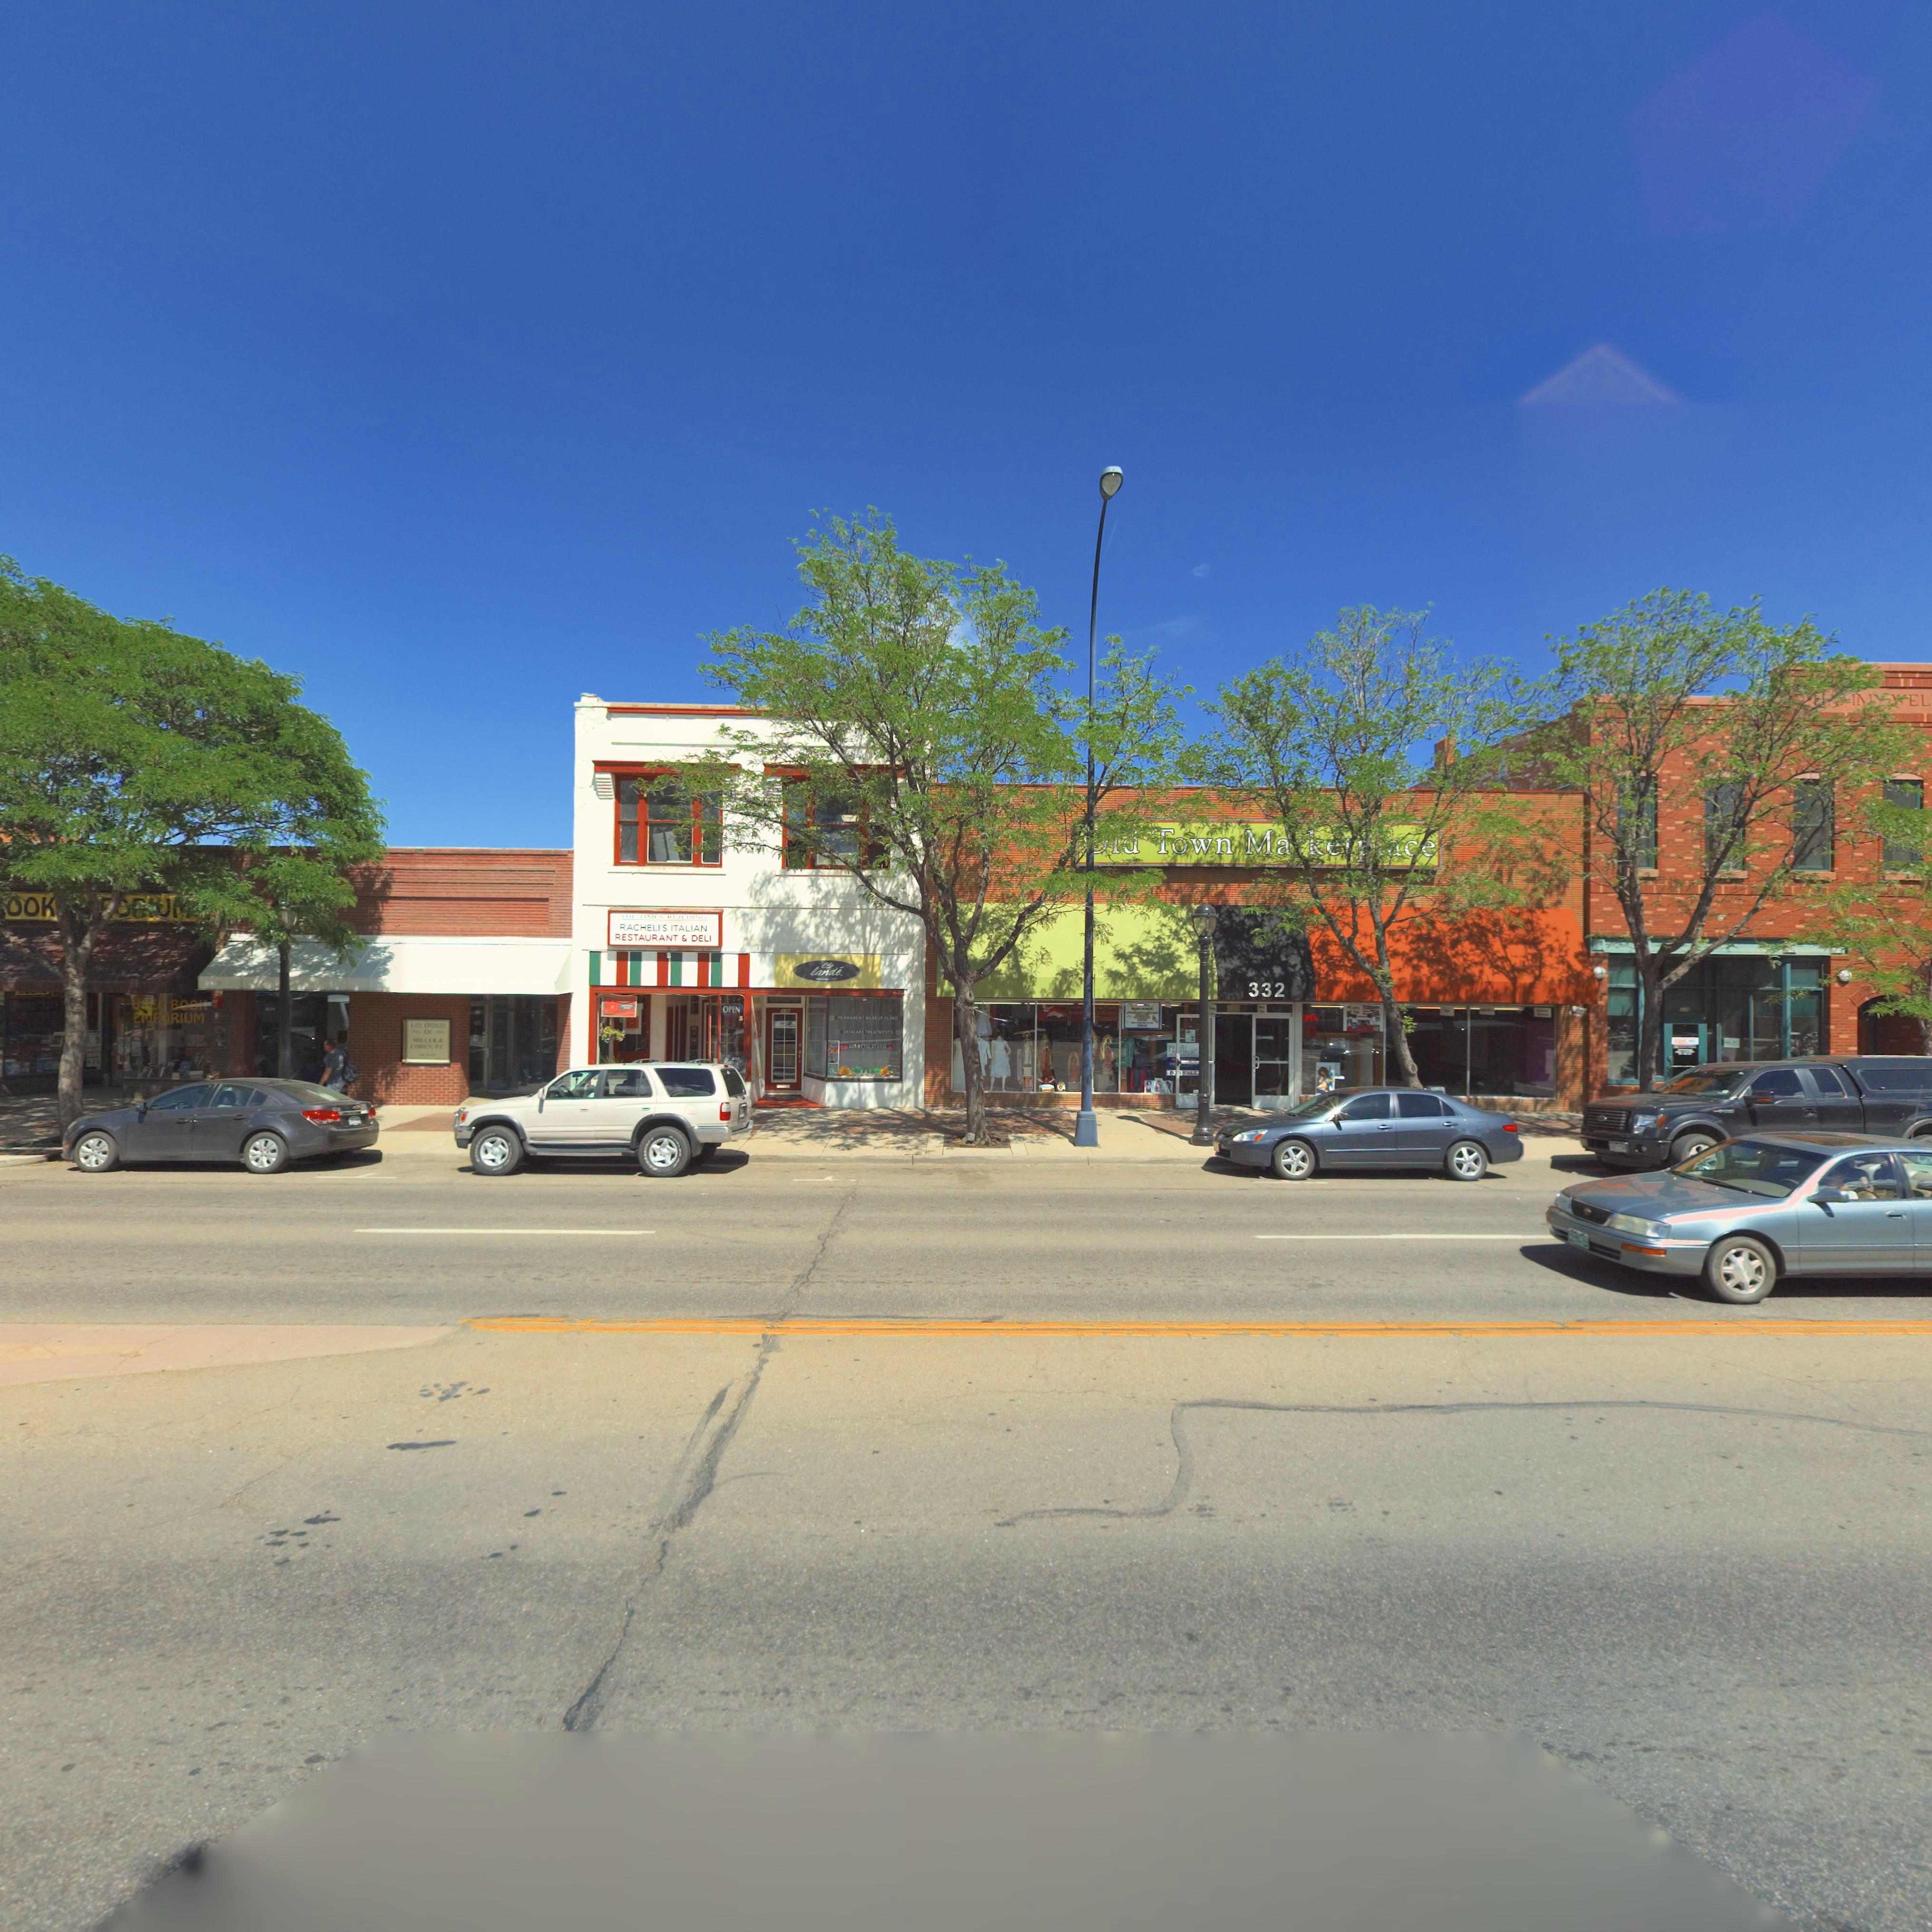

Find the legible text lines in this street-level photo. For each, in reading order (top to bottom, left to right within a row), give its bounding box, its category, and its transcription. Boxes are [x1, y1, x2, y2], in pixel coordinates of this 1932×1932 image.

[1082, 826, 1437, 858] BusinessName: *ld Town Ma*ke****ce
[5, 893, 193, 919] BusinessName: OOK **O**UM
[619, 923, 707, 932] BusinessName: RACHEL'S ITALIAN
[615, 933, 711, 942] BusinessName: RESTAURANT & DELI
[821, 961, 834, 968] BusinessName: es
[808, 966, 844, 976] BusinessName: lande.
[1247, 981, 1285, 998] StreetNumber: 332
[130, 997, 209, 1012] BusinessName: USE* BOOK
[781, 1009, 790, 1013] StreetNumber: 3**
[133, 1011, 205, 1024] BusinessName: EMPORIUM
[412, 1037, 444, 1043] BusinessName: MILLER &
[410, 1043, 446, 1050] BusinessName: COHEN P.C.